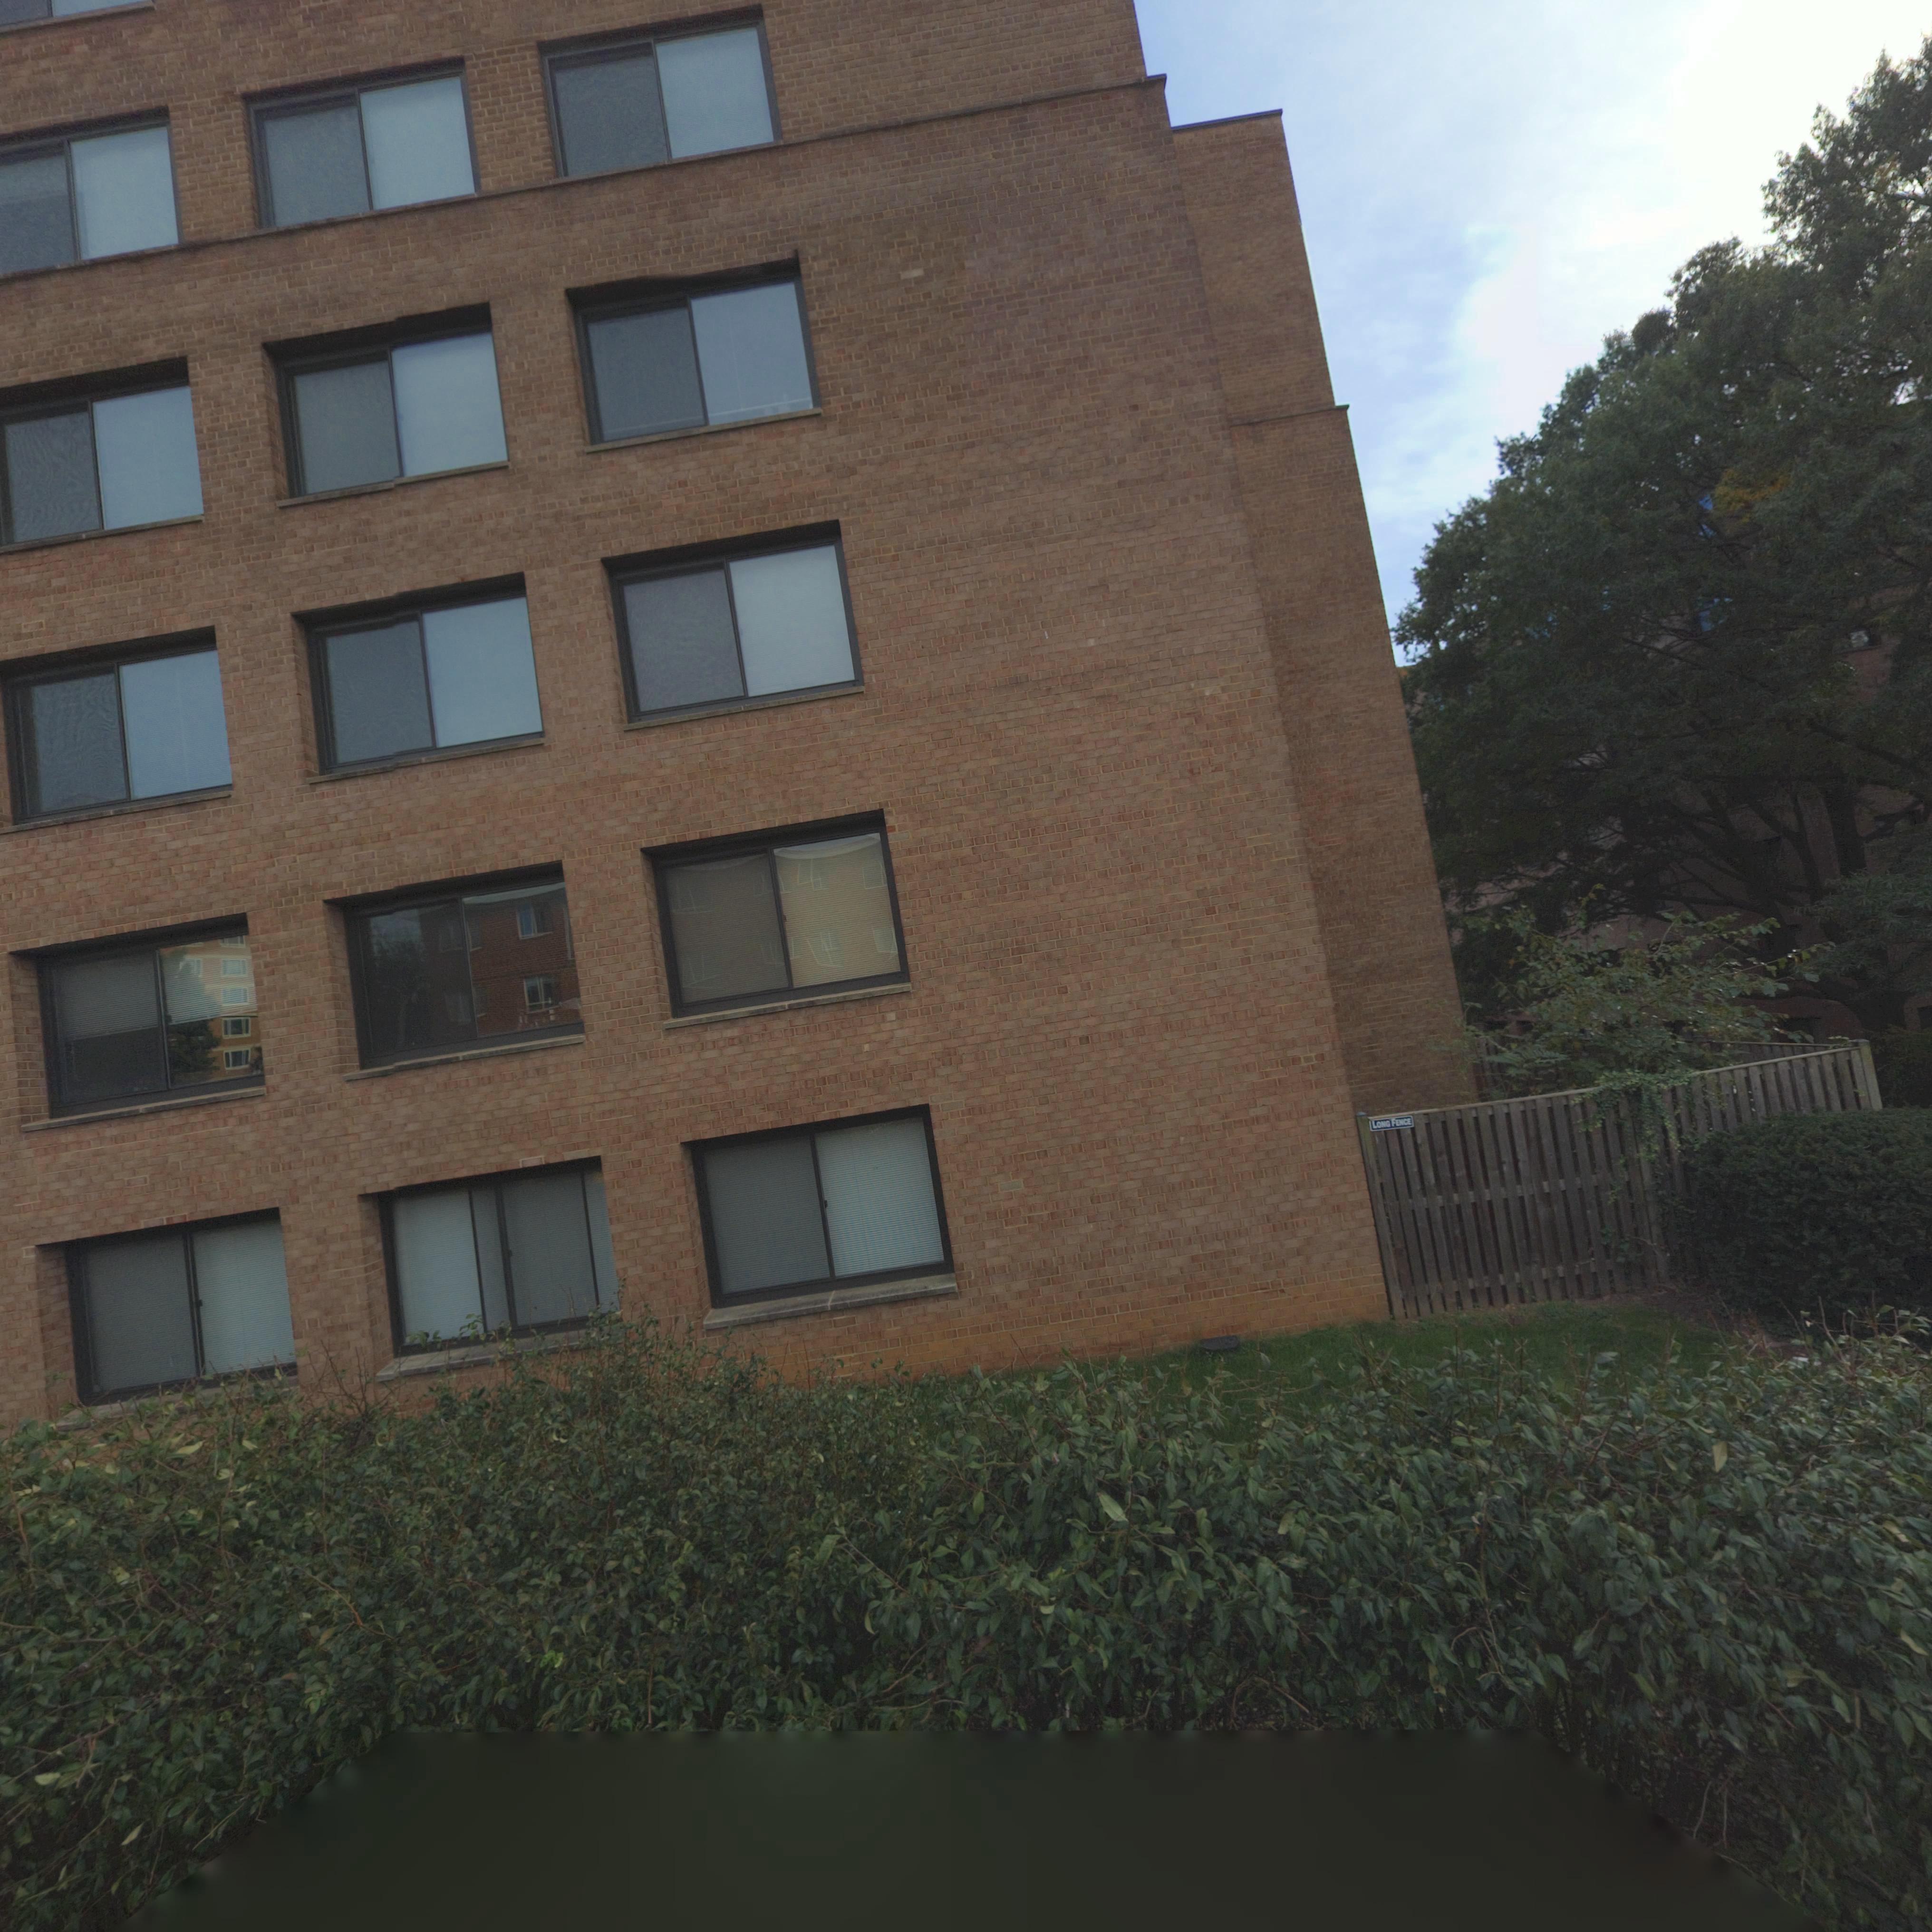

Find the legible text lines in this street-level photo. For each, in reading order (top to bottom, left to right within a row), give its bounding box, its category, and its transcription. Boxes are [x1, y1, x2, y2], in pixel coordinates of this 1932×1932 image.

[1372, 1118, 1412, 1129] None: LONGFENCE